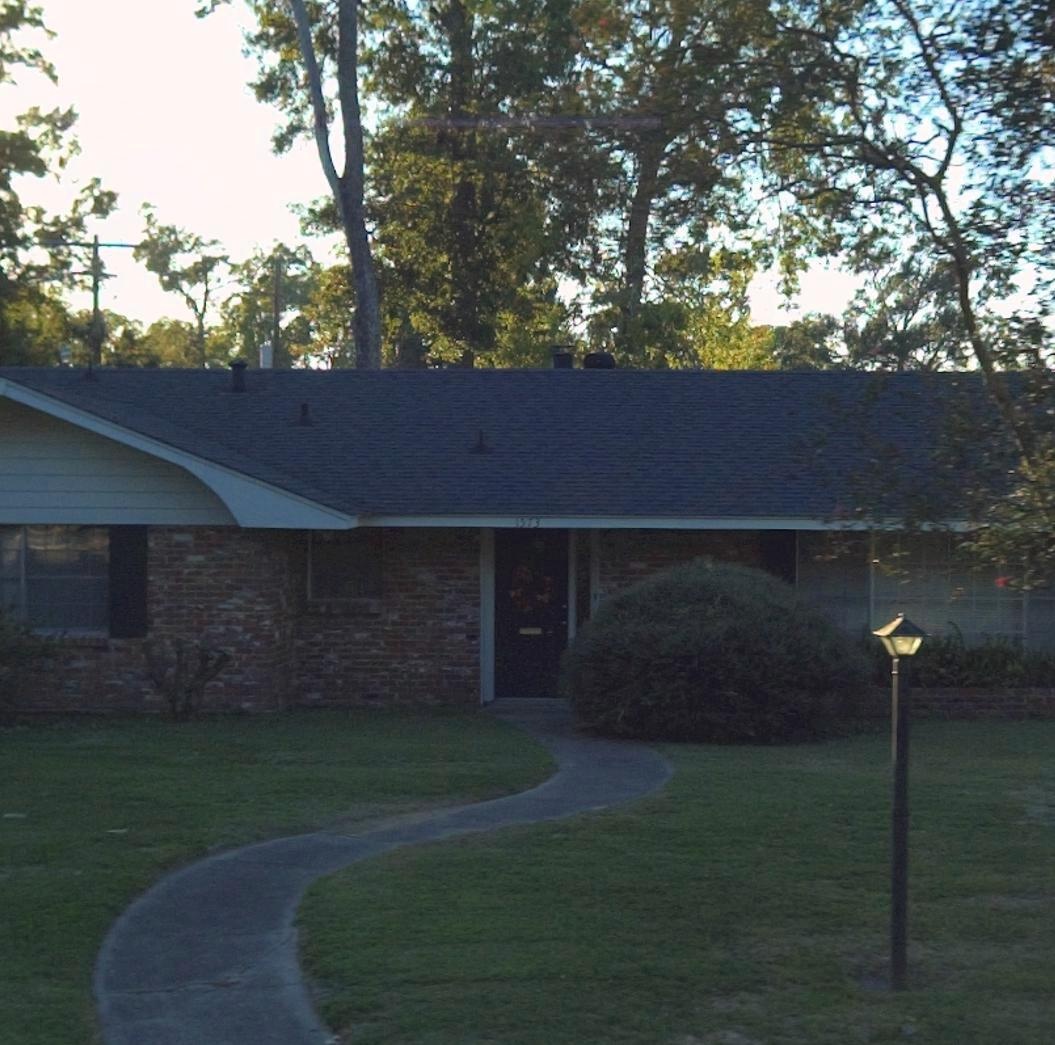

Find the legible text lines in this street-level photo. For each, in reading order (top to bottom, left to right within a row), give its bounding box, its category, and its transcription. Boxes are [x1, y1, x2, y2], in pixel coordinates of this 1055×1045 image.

[515, 517, 541, 529] StreetNumber: 1573